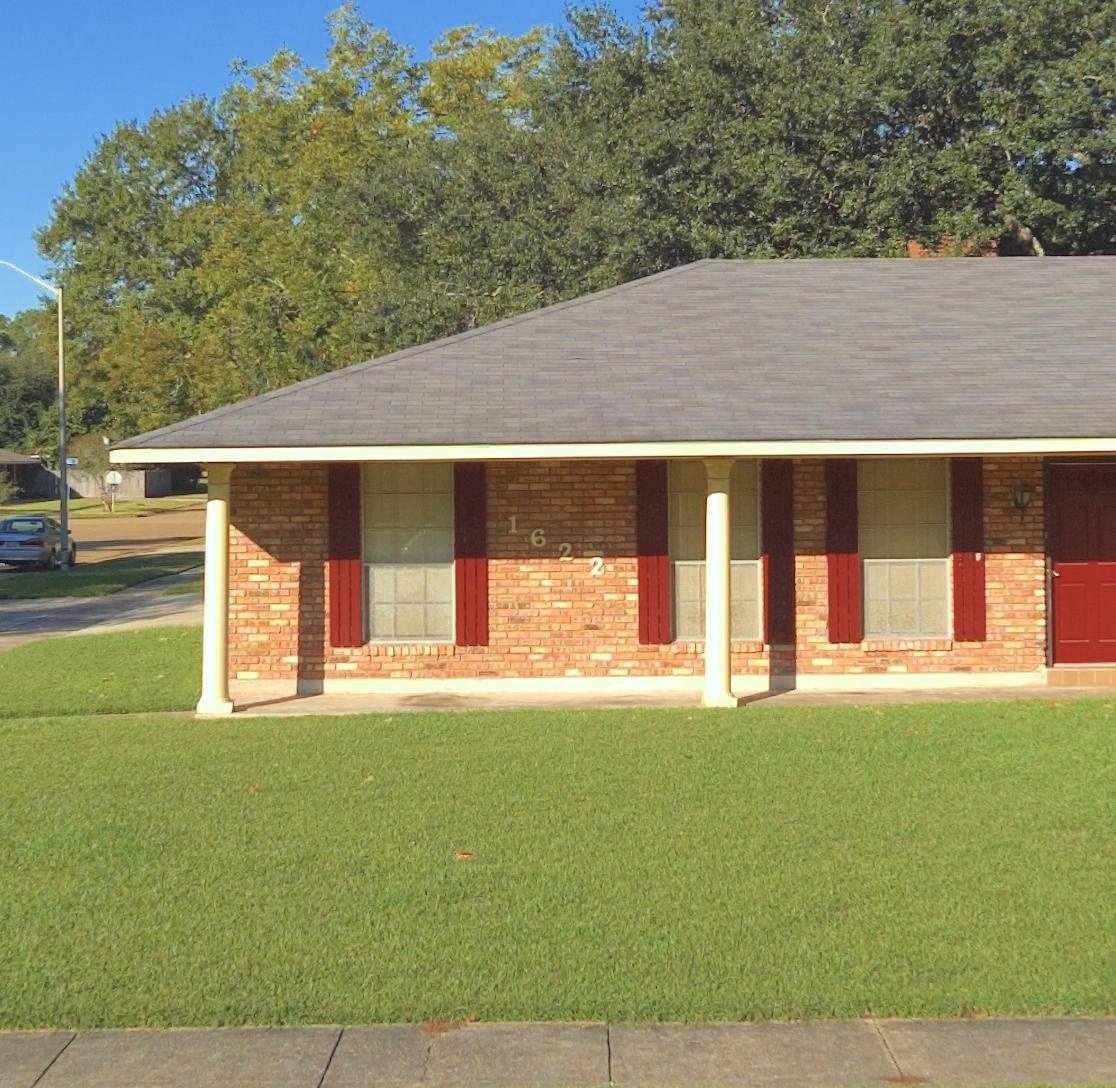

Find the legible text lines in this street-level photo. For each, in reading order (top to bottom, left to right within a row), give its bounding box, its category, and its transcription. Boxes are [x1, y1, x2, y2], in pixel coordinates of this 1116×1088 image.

[506, 513, 607, 578] StreetNumber: 1622